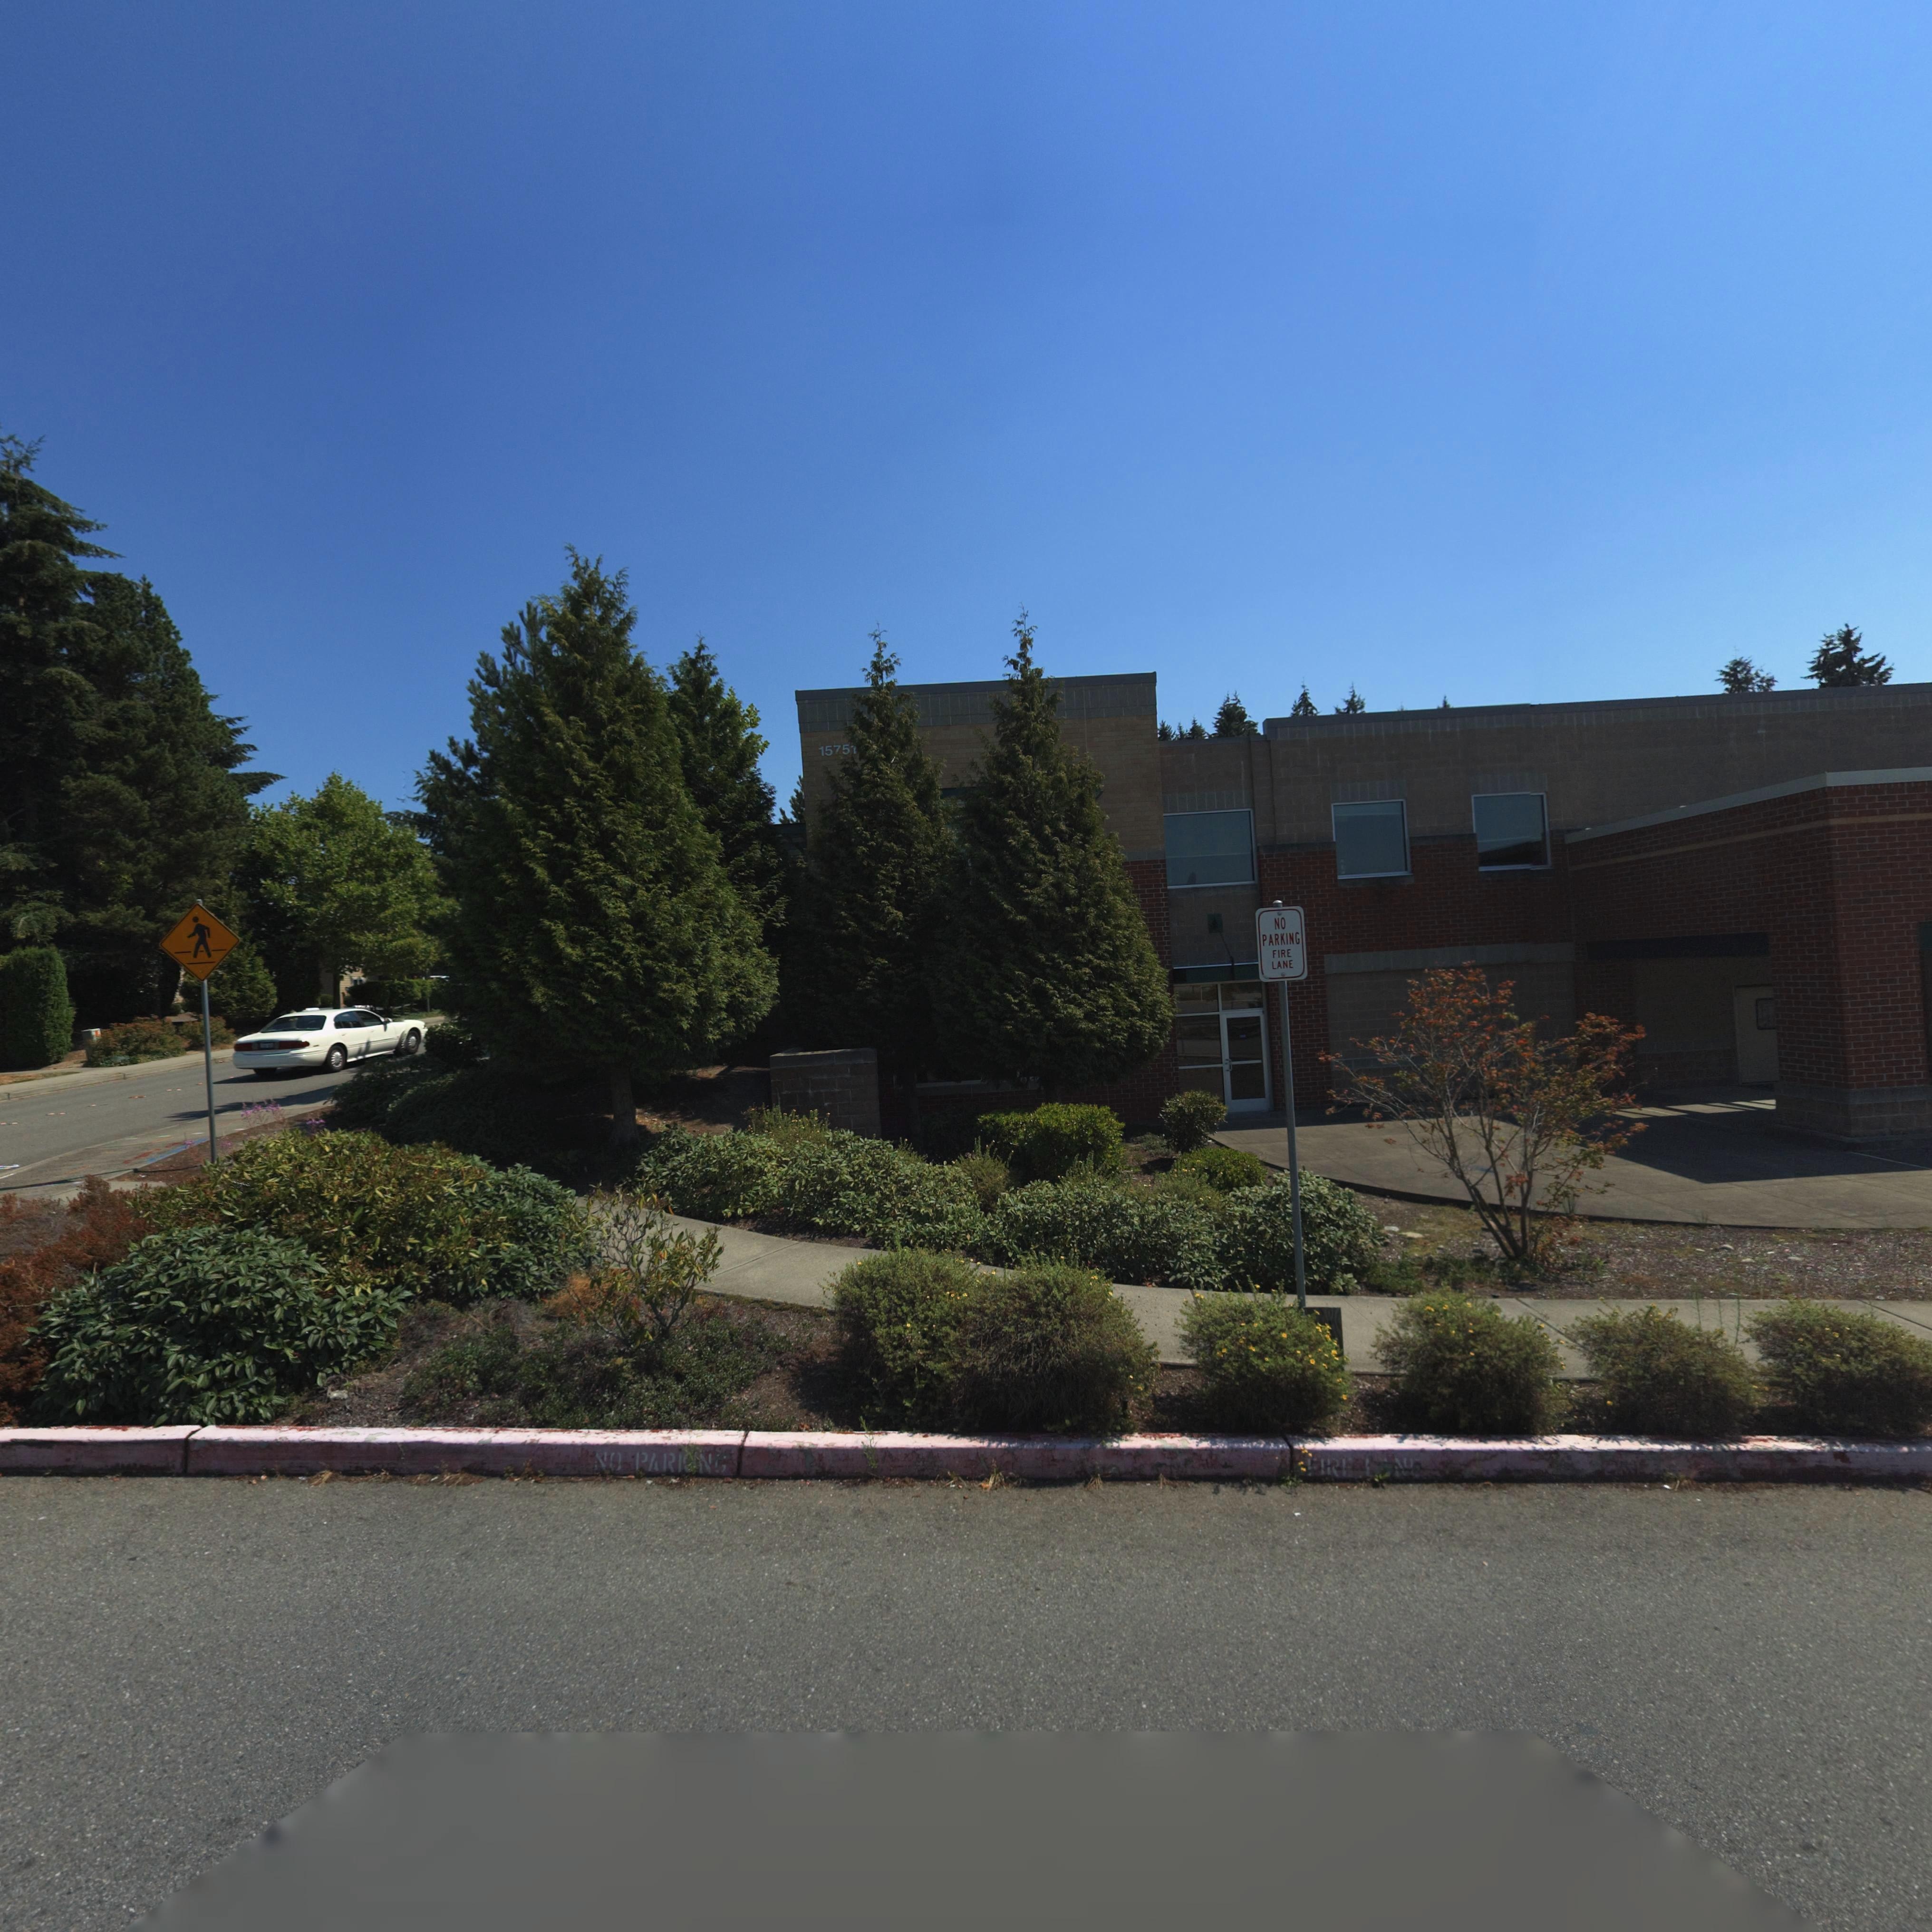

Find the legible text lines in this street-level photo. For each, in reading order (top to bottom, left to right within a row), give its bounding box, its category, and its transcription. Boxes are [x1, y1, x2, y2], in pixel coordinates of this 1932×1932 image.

[820, 742, 857, 757] StreetNumber: 1575*